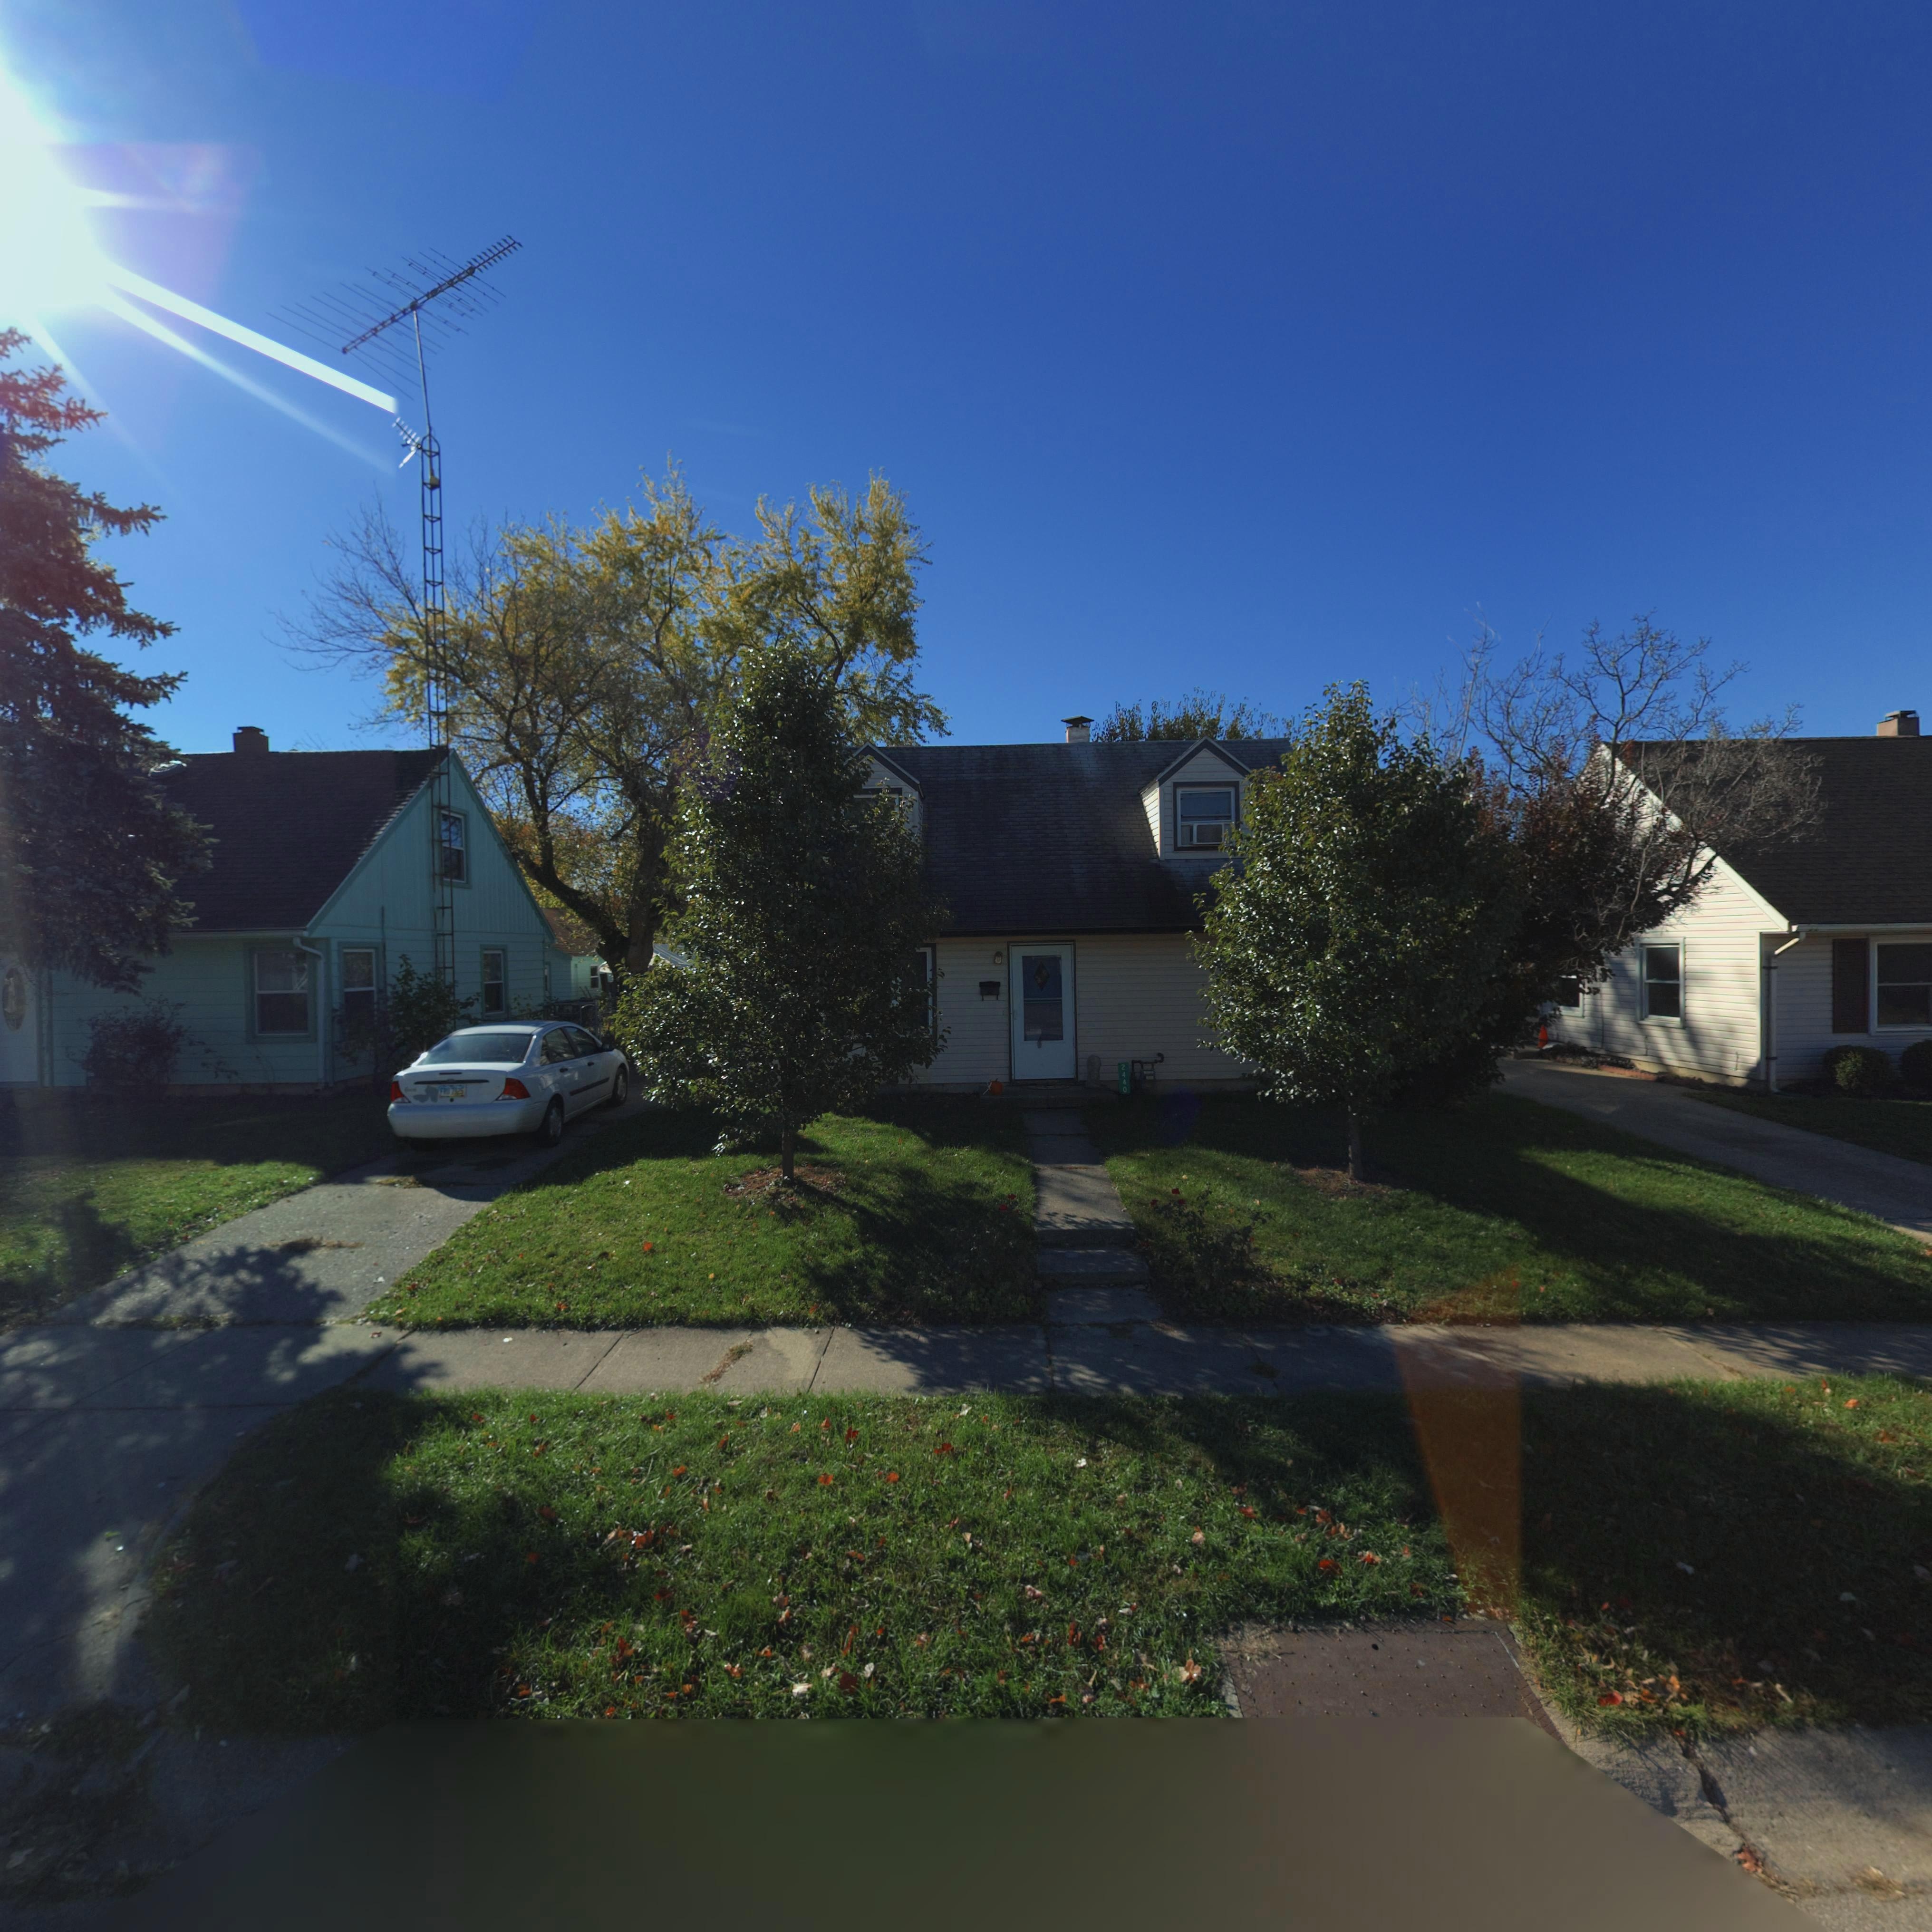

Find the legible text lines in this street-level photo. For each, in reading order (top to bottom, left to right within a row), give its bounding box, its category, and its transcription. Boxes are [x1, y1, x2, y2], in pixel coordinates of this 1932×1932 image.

[1120, 1063, 1129, 1094] StreetNumber: 2440